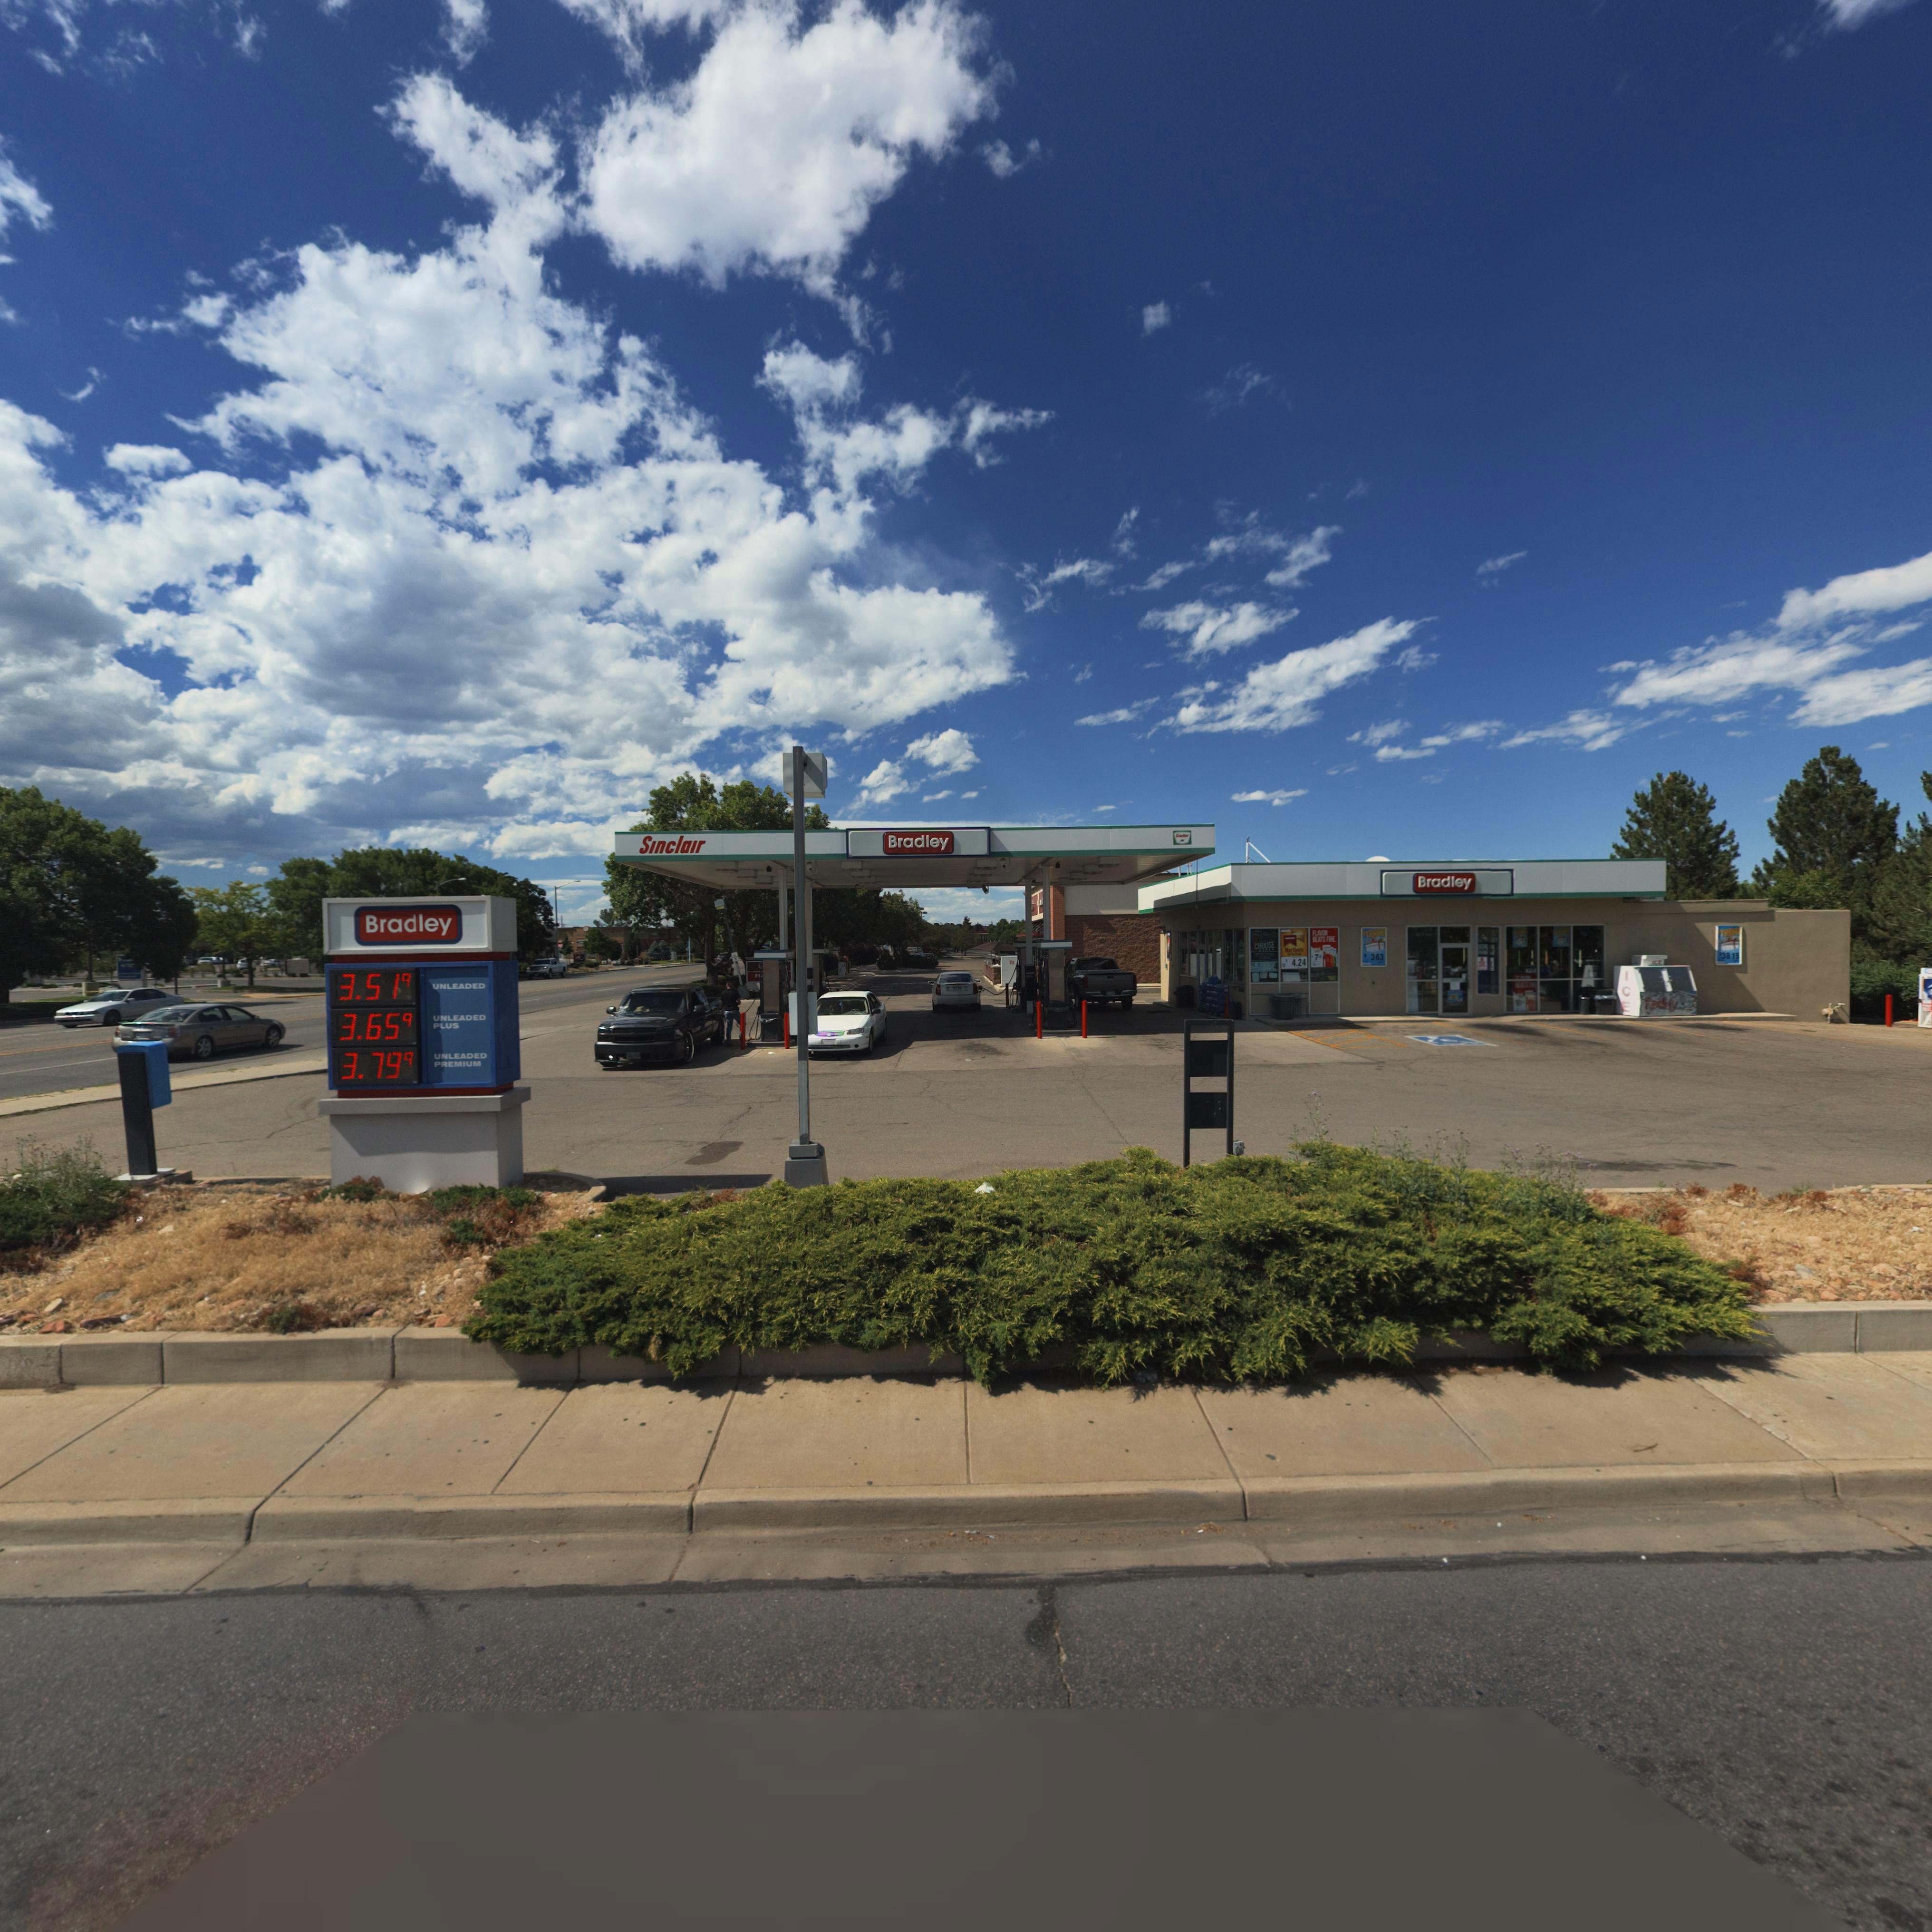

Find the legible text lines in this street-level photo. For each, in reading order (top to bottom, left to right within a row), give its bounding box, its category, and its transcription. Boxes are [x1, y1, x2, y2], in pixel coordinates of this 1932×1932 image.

[637, 835, 706, 854] BusinessName: Sinclair
[888, 834, 950, 851] BusinessName: Bradley
[1175, 833, 1189, 838] BusinessName: S**cl**r
[1417, 874, 1473, 890] BusinessName: Bradley
[364, 912, 454, 937] BusinessName: Bradley
[758, 962, 782, 969] BusinessName: C*******
[754, 973, 781, 978] BusinessName: FI** ****